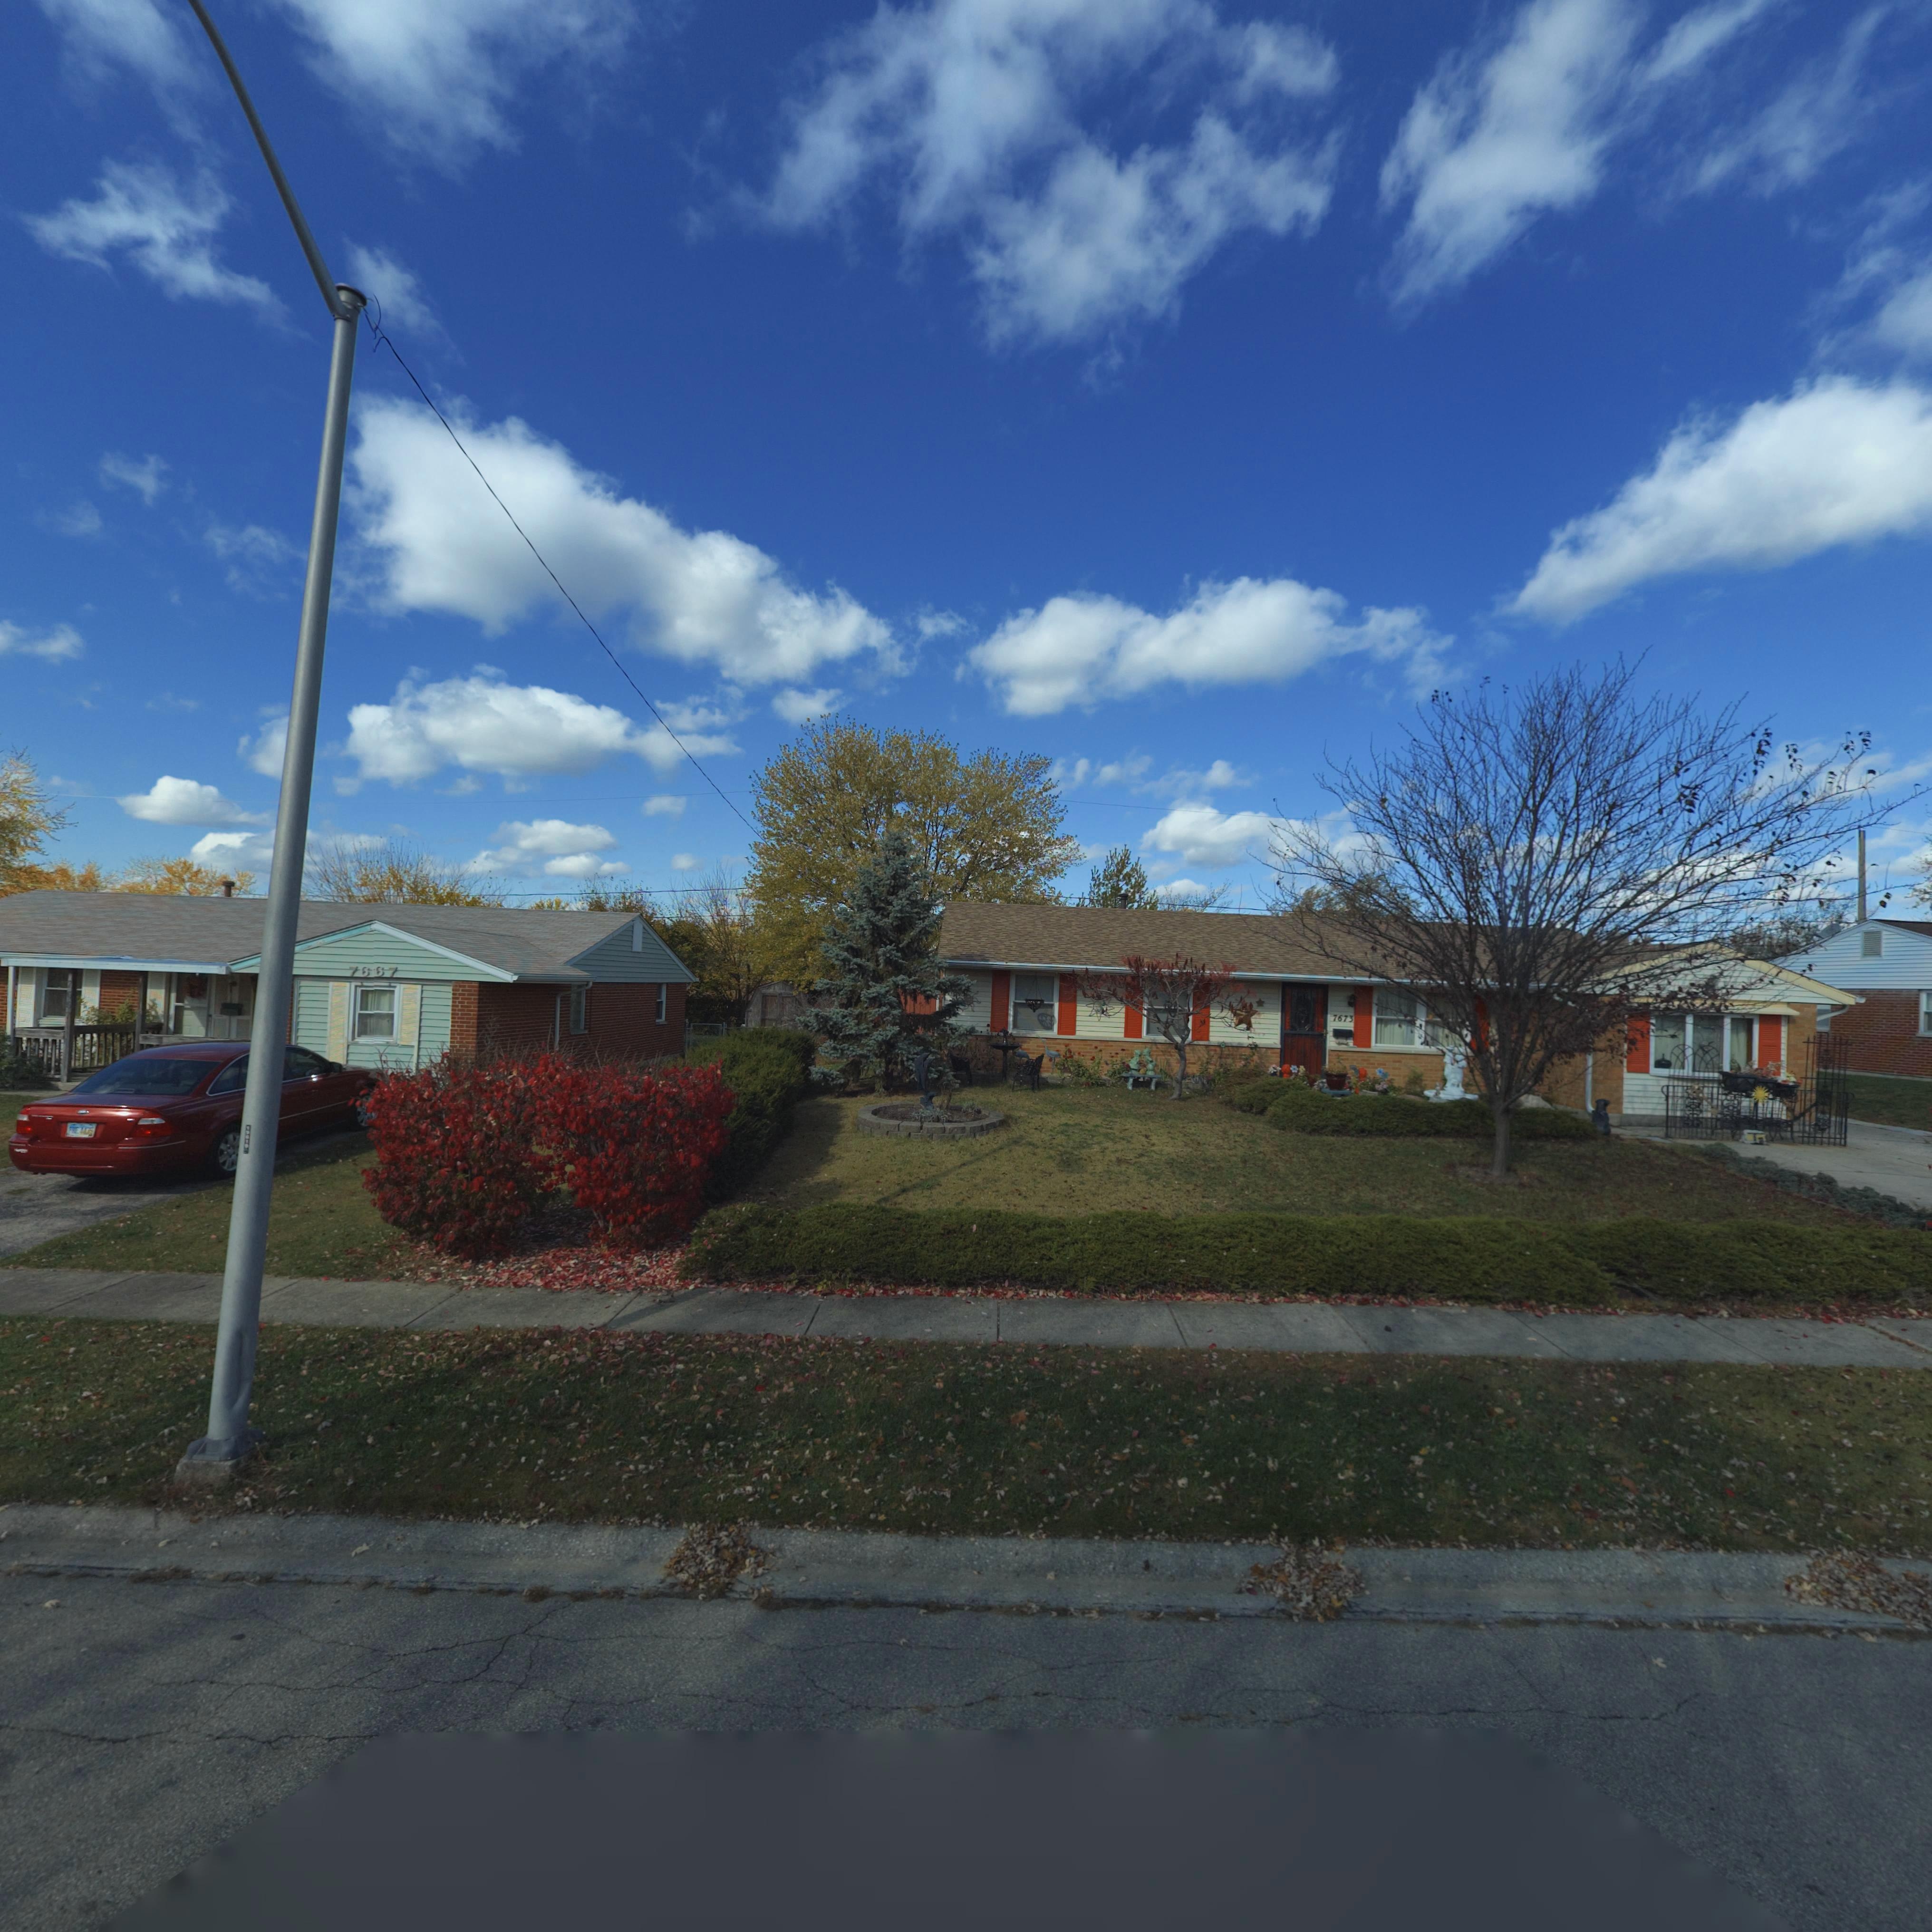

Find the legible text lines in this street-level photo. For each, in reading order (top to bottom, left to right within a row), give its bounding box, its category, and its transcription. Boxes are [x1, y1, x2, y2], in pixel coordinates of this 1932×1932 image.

[348, 966, 398, 978] StreetNumber: 7667
[65, 980, 73, 1019] StreetNumber: 7667
[1333, 1014, 1354, 1023] StreetNumber: 7673